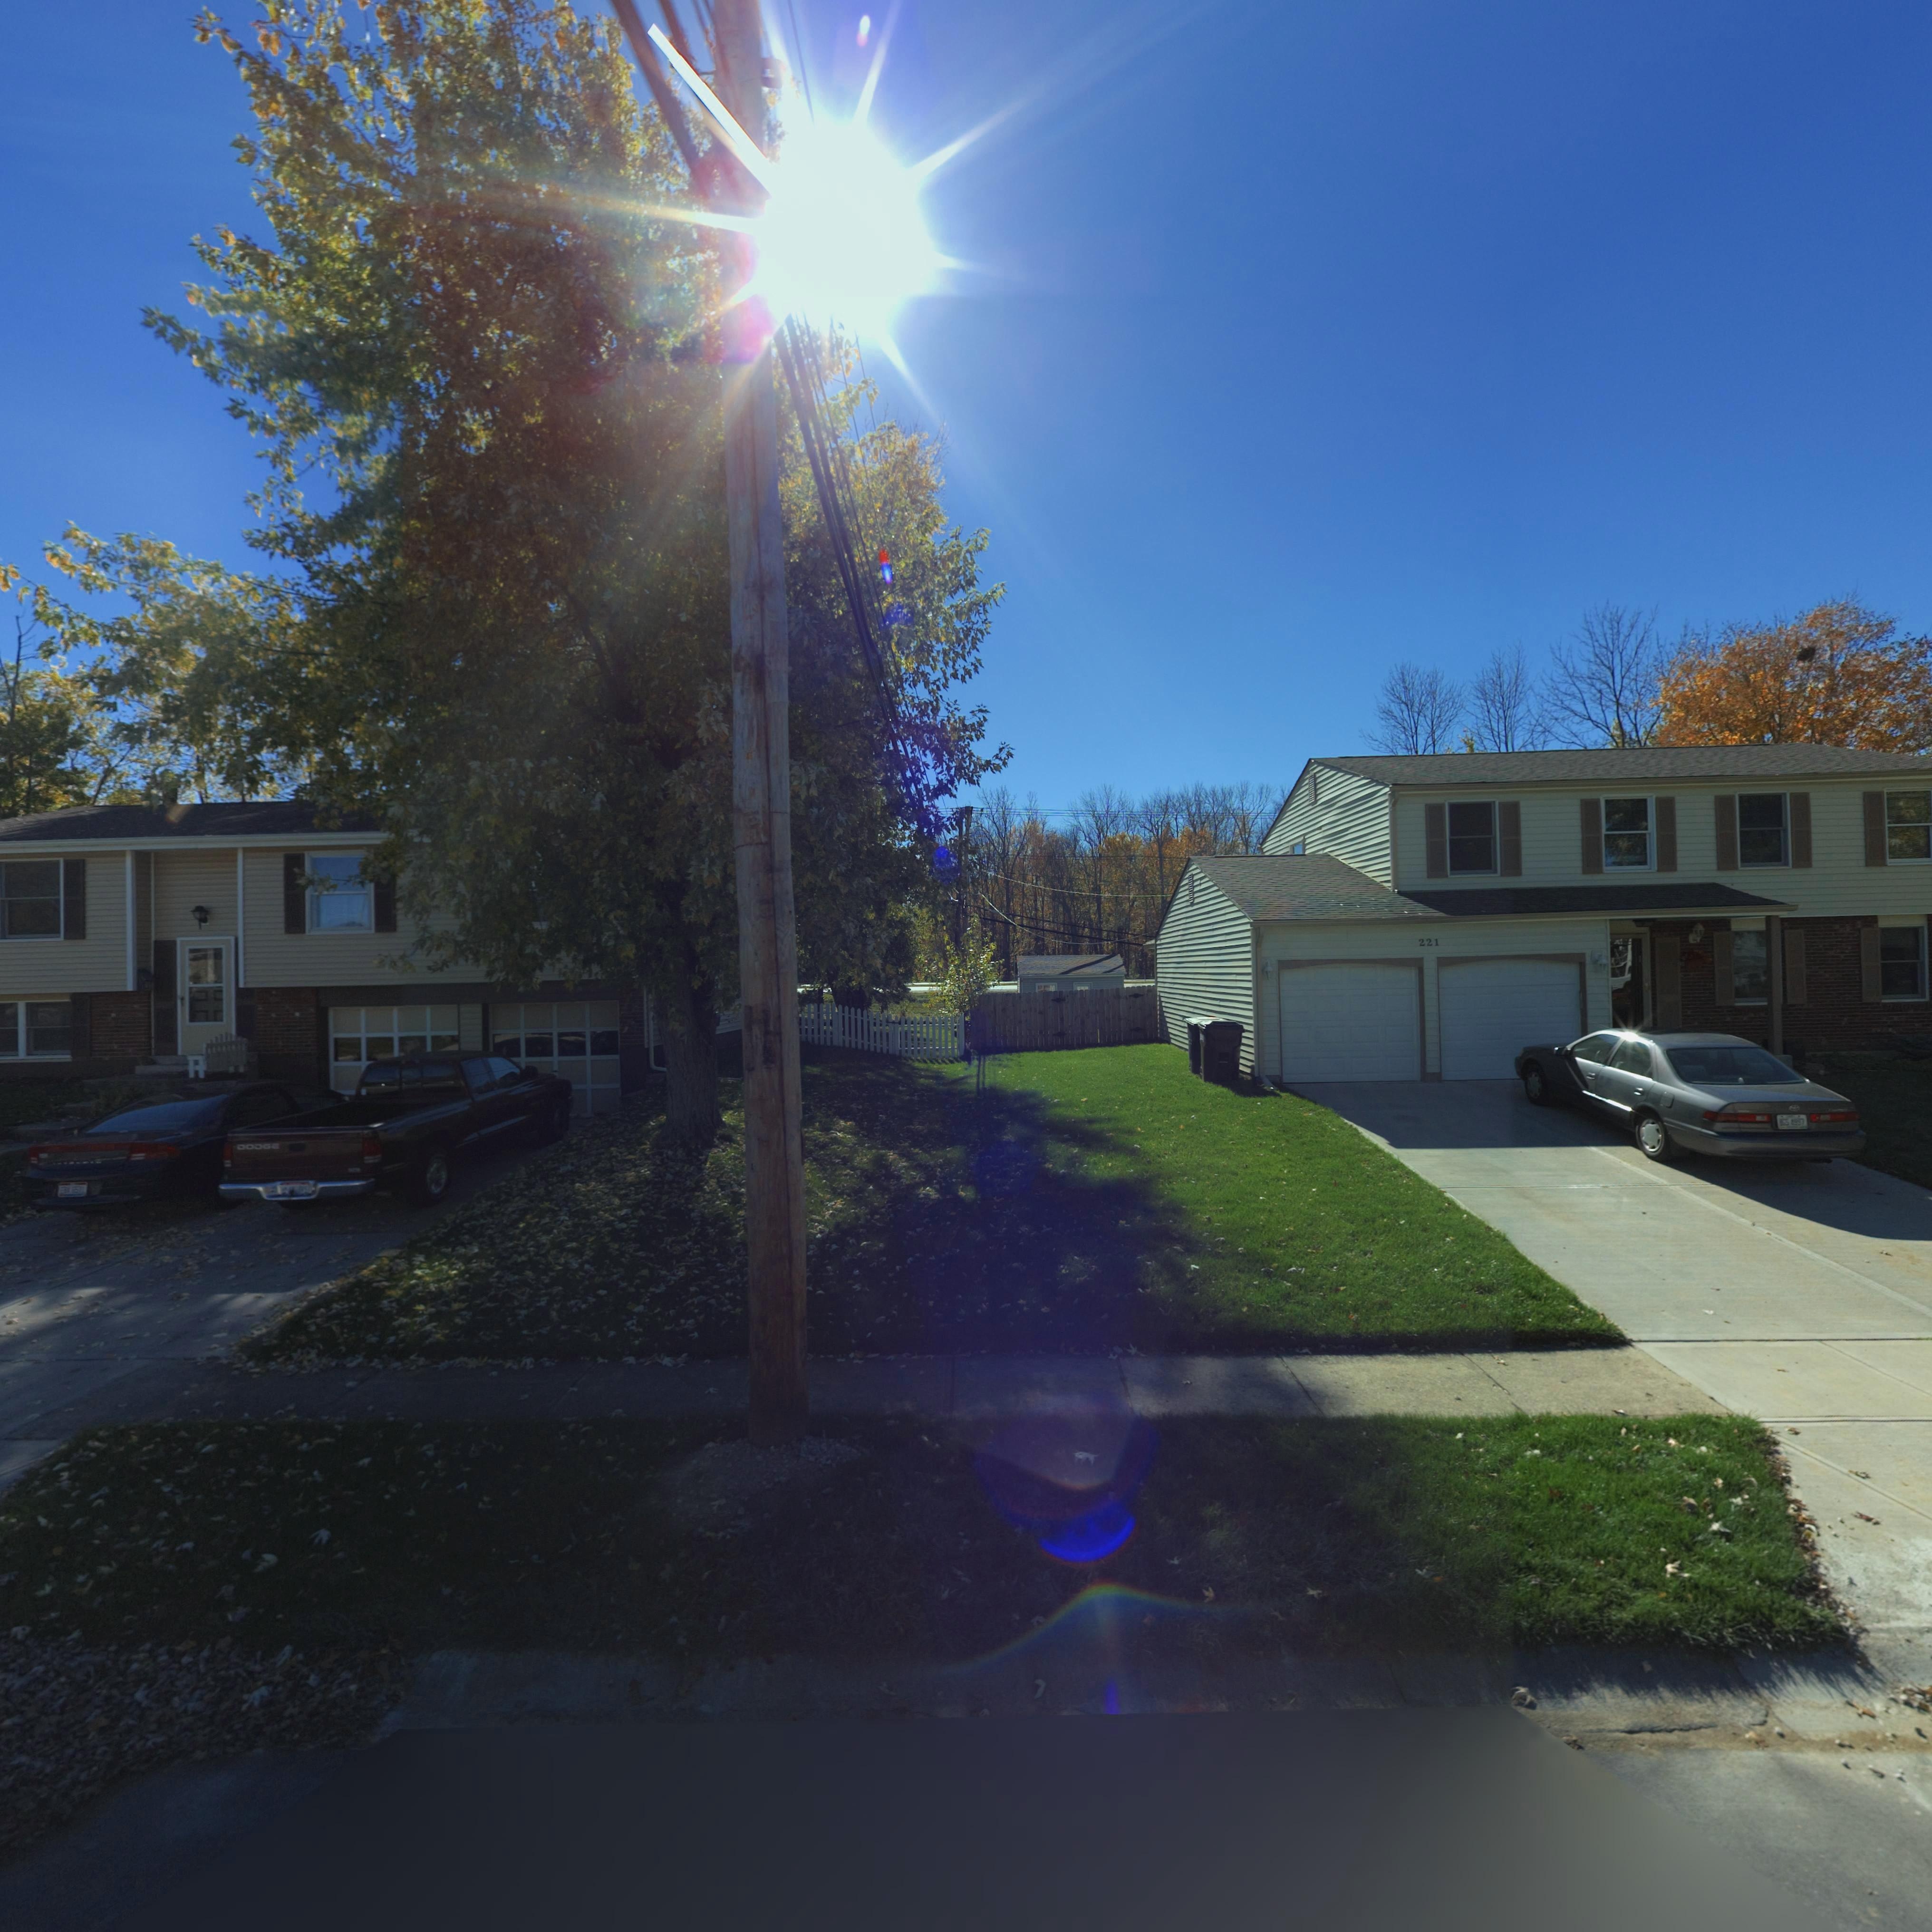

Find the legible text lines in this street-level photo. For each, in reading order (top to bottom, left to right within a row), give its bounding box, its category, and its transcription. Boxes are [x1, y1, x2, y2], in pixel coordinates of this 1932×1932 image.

[1418, 937, 1439, 947] StreetNumber: 221